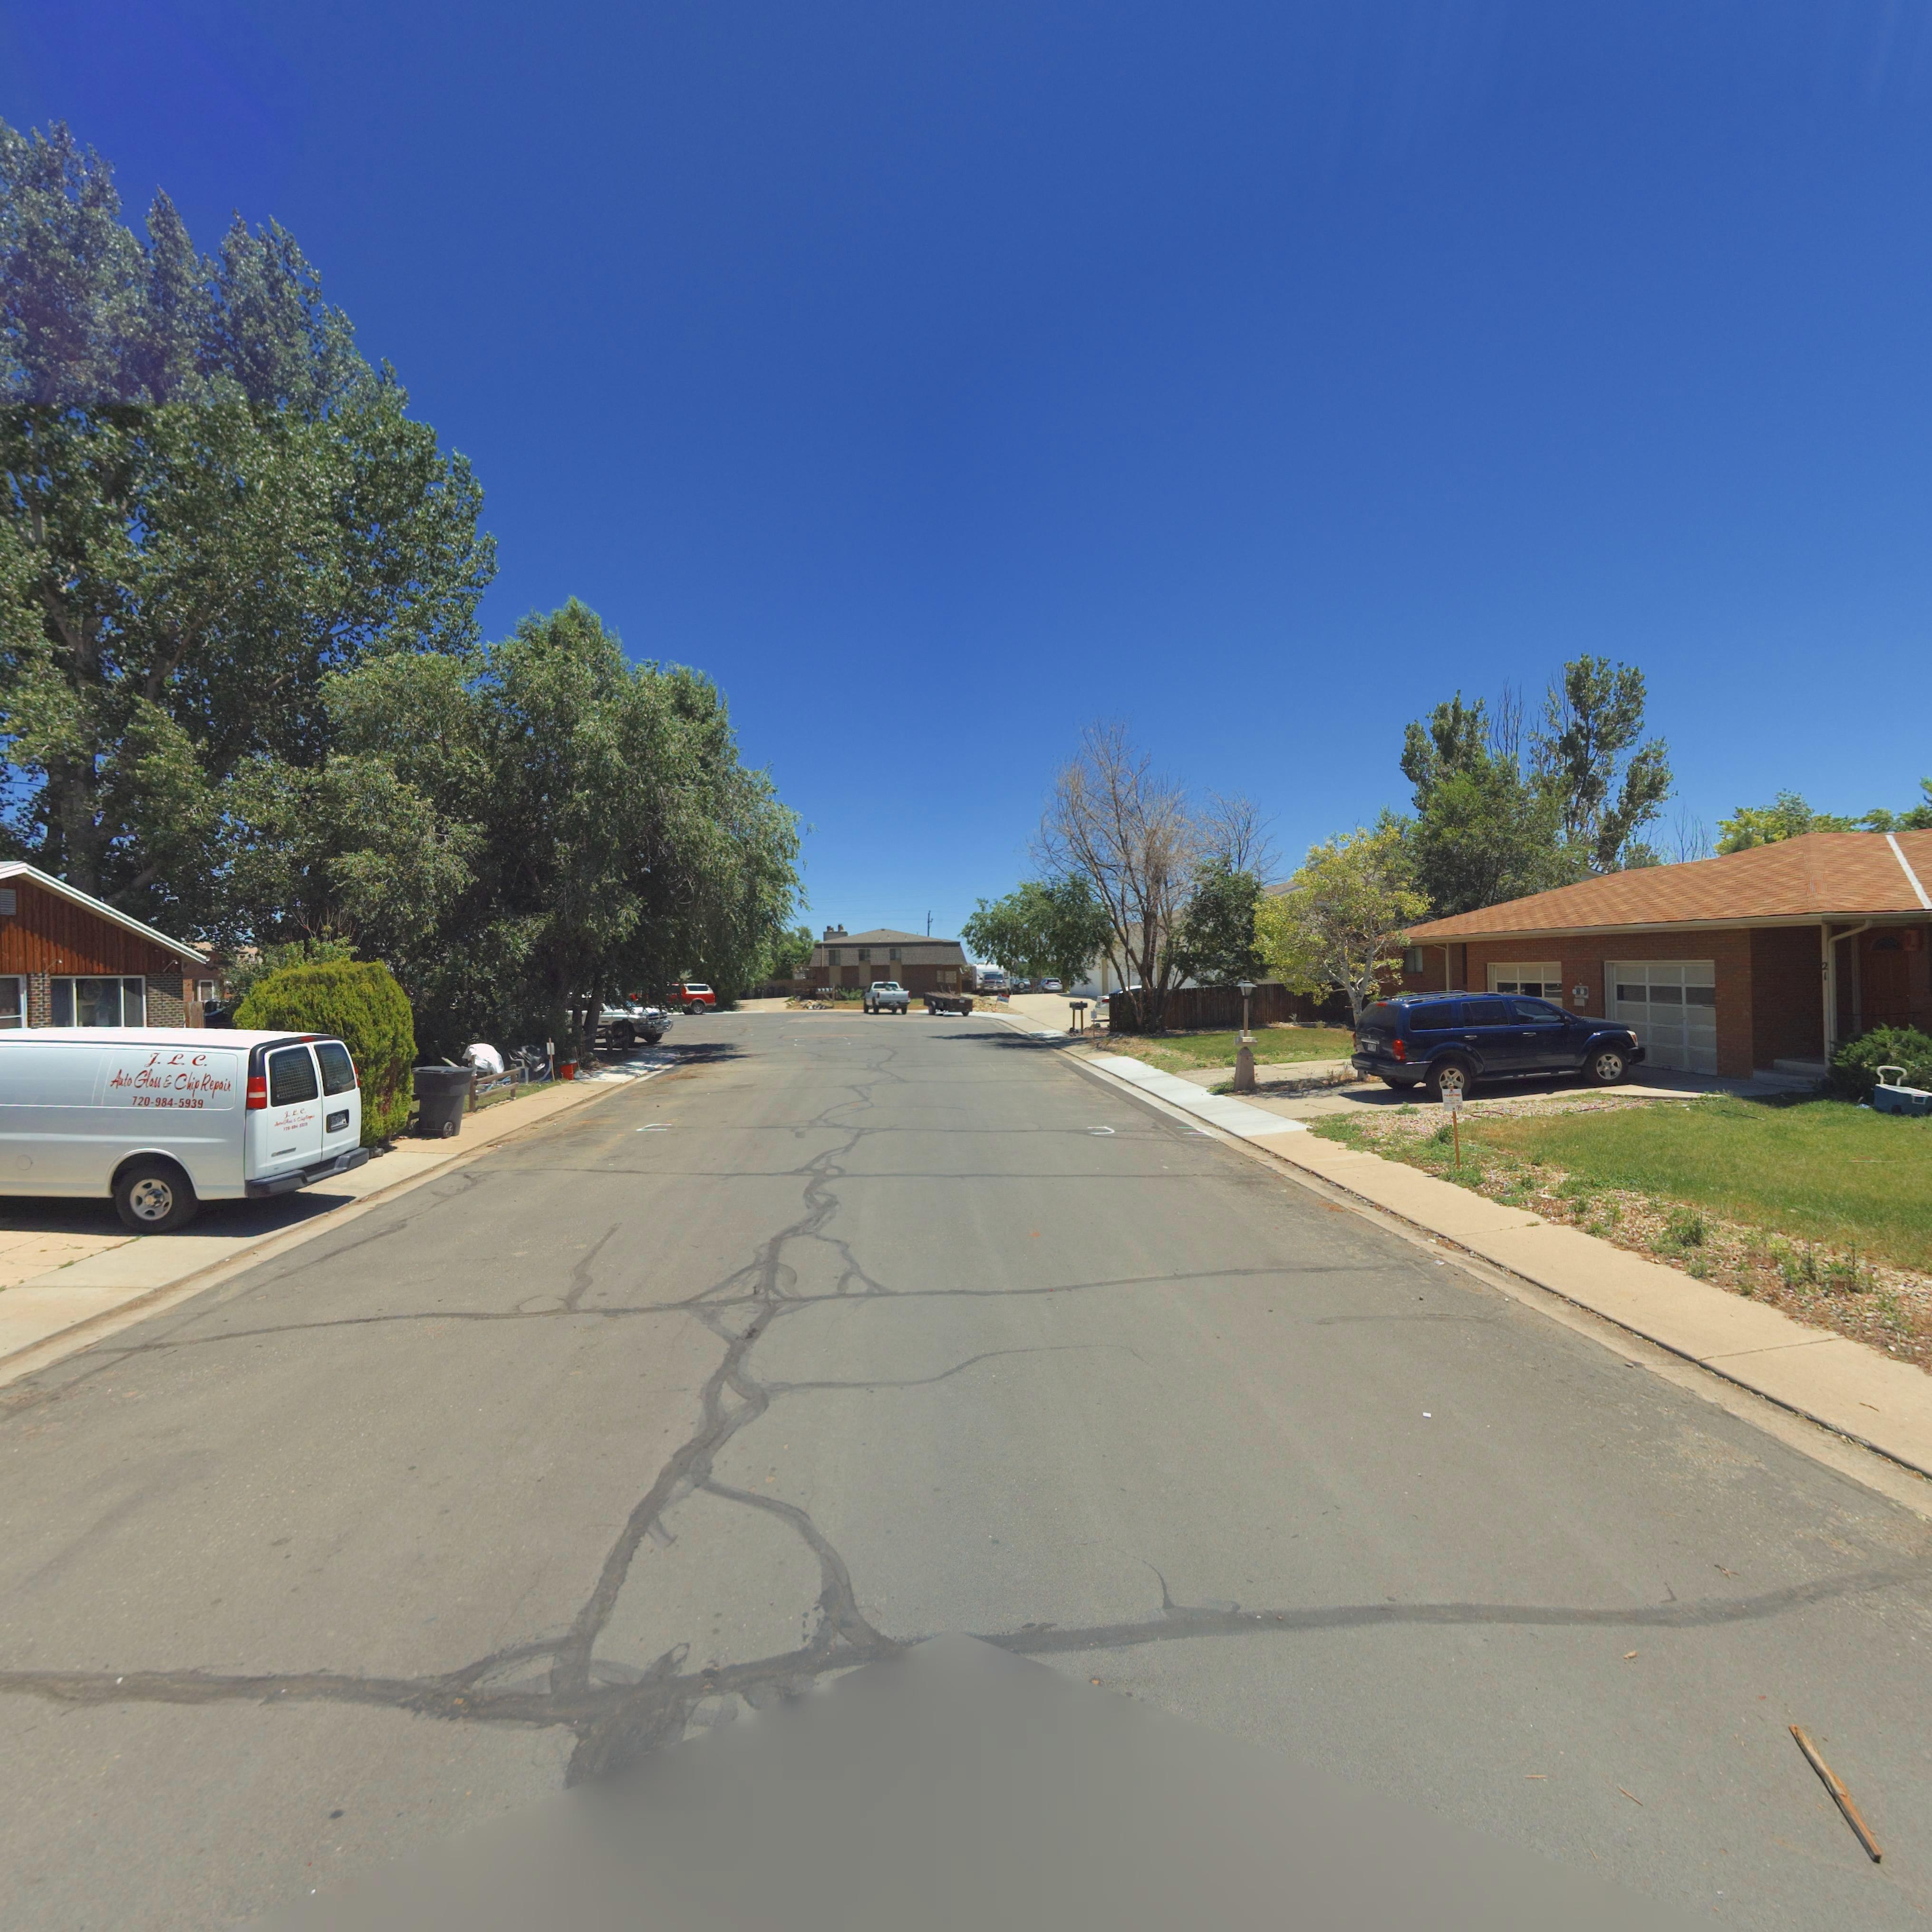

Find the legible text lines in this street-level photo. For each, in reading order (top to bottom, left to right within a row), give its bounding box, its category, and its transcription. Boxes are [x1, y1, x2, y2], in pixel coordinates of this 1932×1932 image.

[1820, 960, 1828, 981] StreetNumber: 21